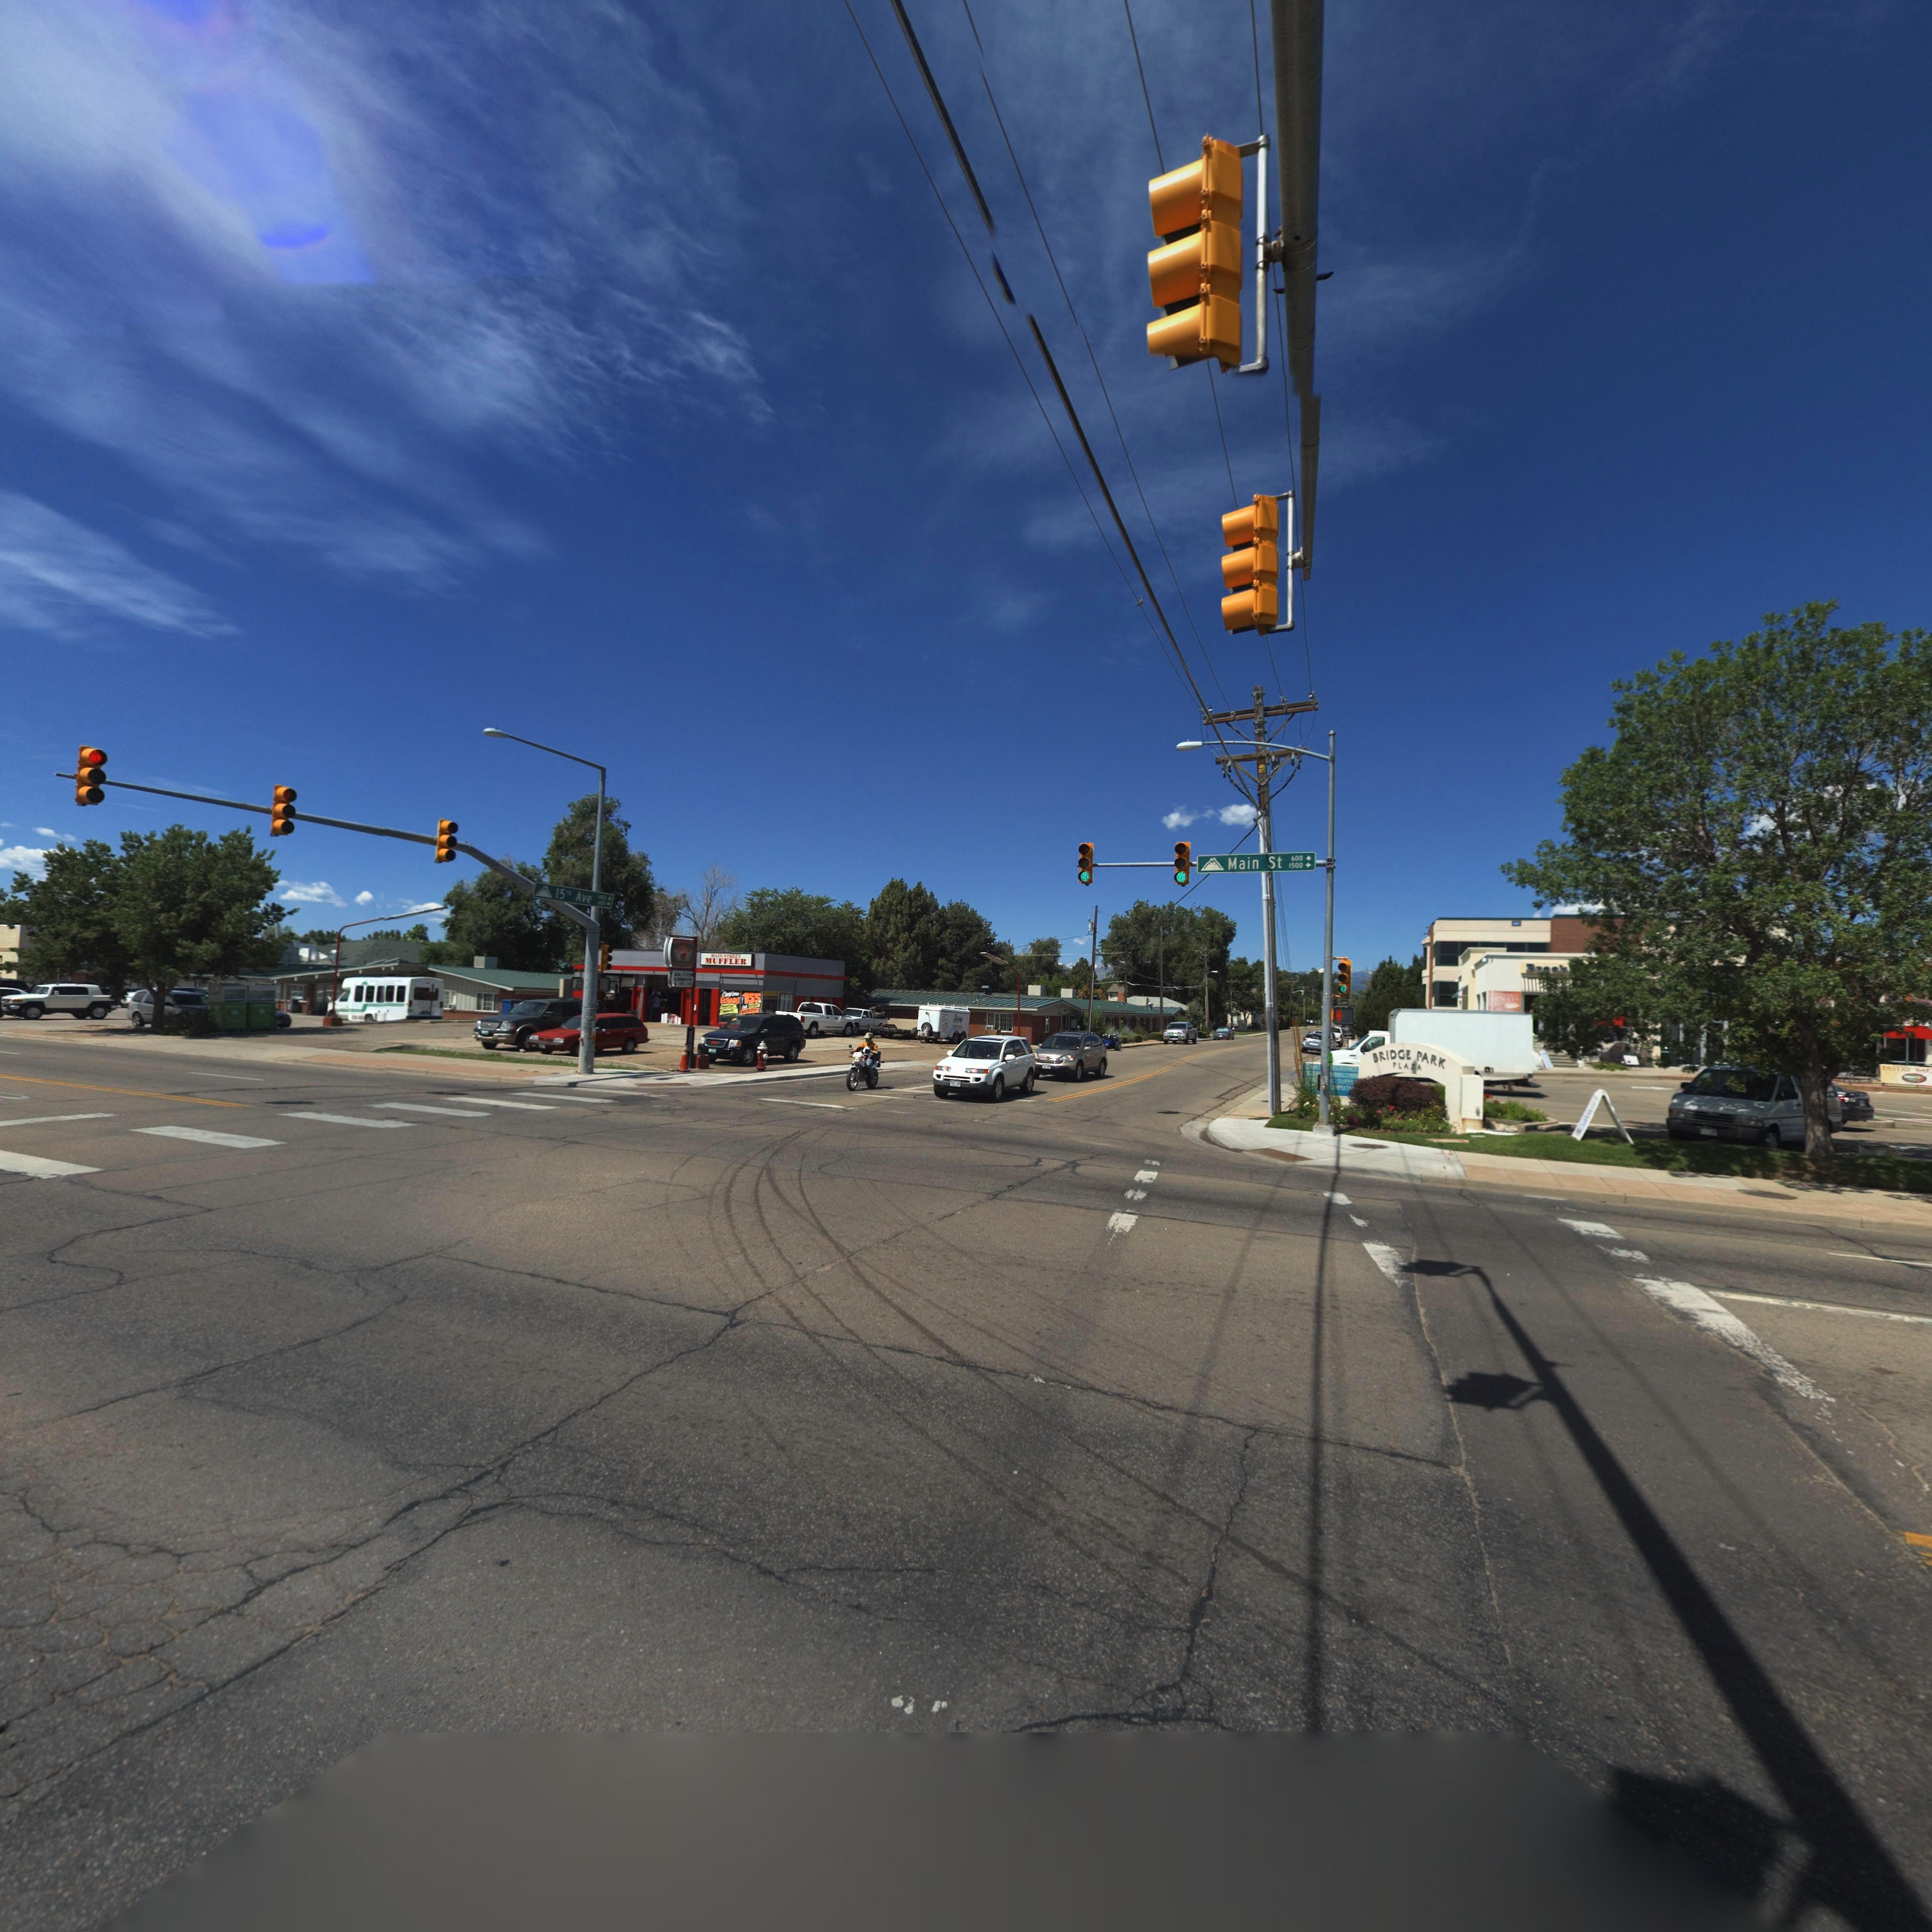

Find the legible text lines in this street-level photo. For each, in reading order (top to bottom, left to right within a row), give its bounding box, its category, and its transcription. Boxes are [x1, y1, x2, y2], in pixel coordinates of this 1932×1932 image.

[1290, 855, 1303, 861] StreetNumberRange: 600
[1227, 855, 1283, 869] StreetName: Main St
[1288, 862, 1312, 868] StreetNumberRange: 1500->
[555, 887, 592, 904] StreetName: 15th Ave
[597, 894, 607, 900] StreetNumberRange: 1400
[597, 899, 611, 906] StreetNumberRange: 600->
[711, 954, 742, 958] BusinessName: M*IN *T*E**
[705, 957, 746, 965] BusinessName: MUFFLER
[1526, 963, 1567, 973] BusinessName: Br**k